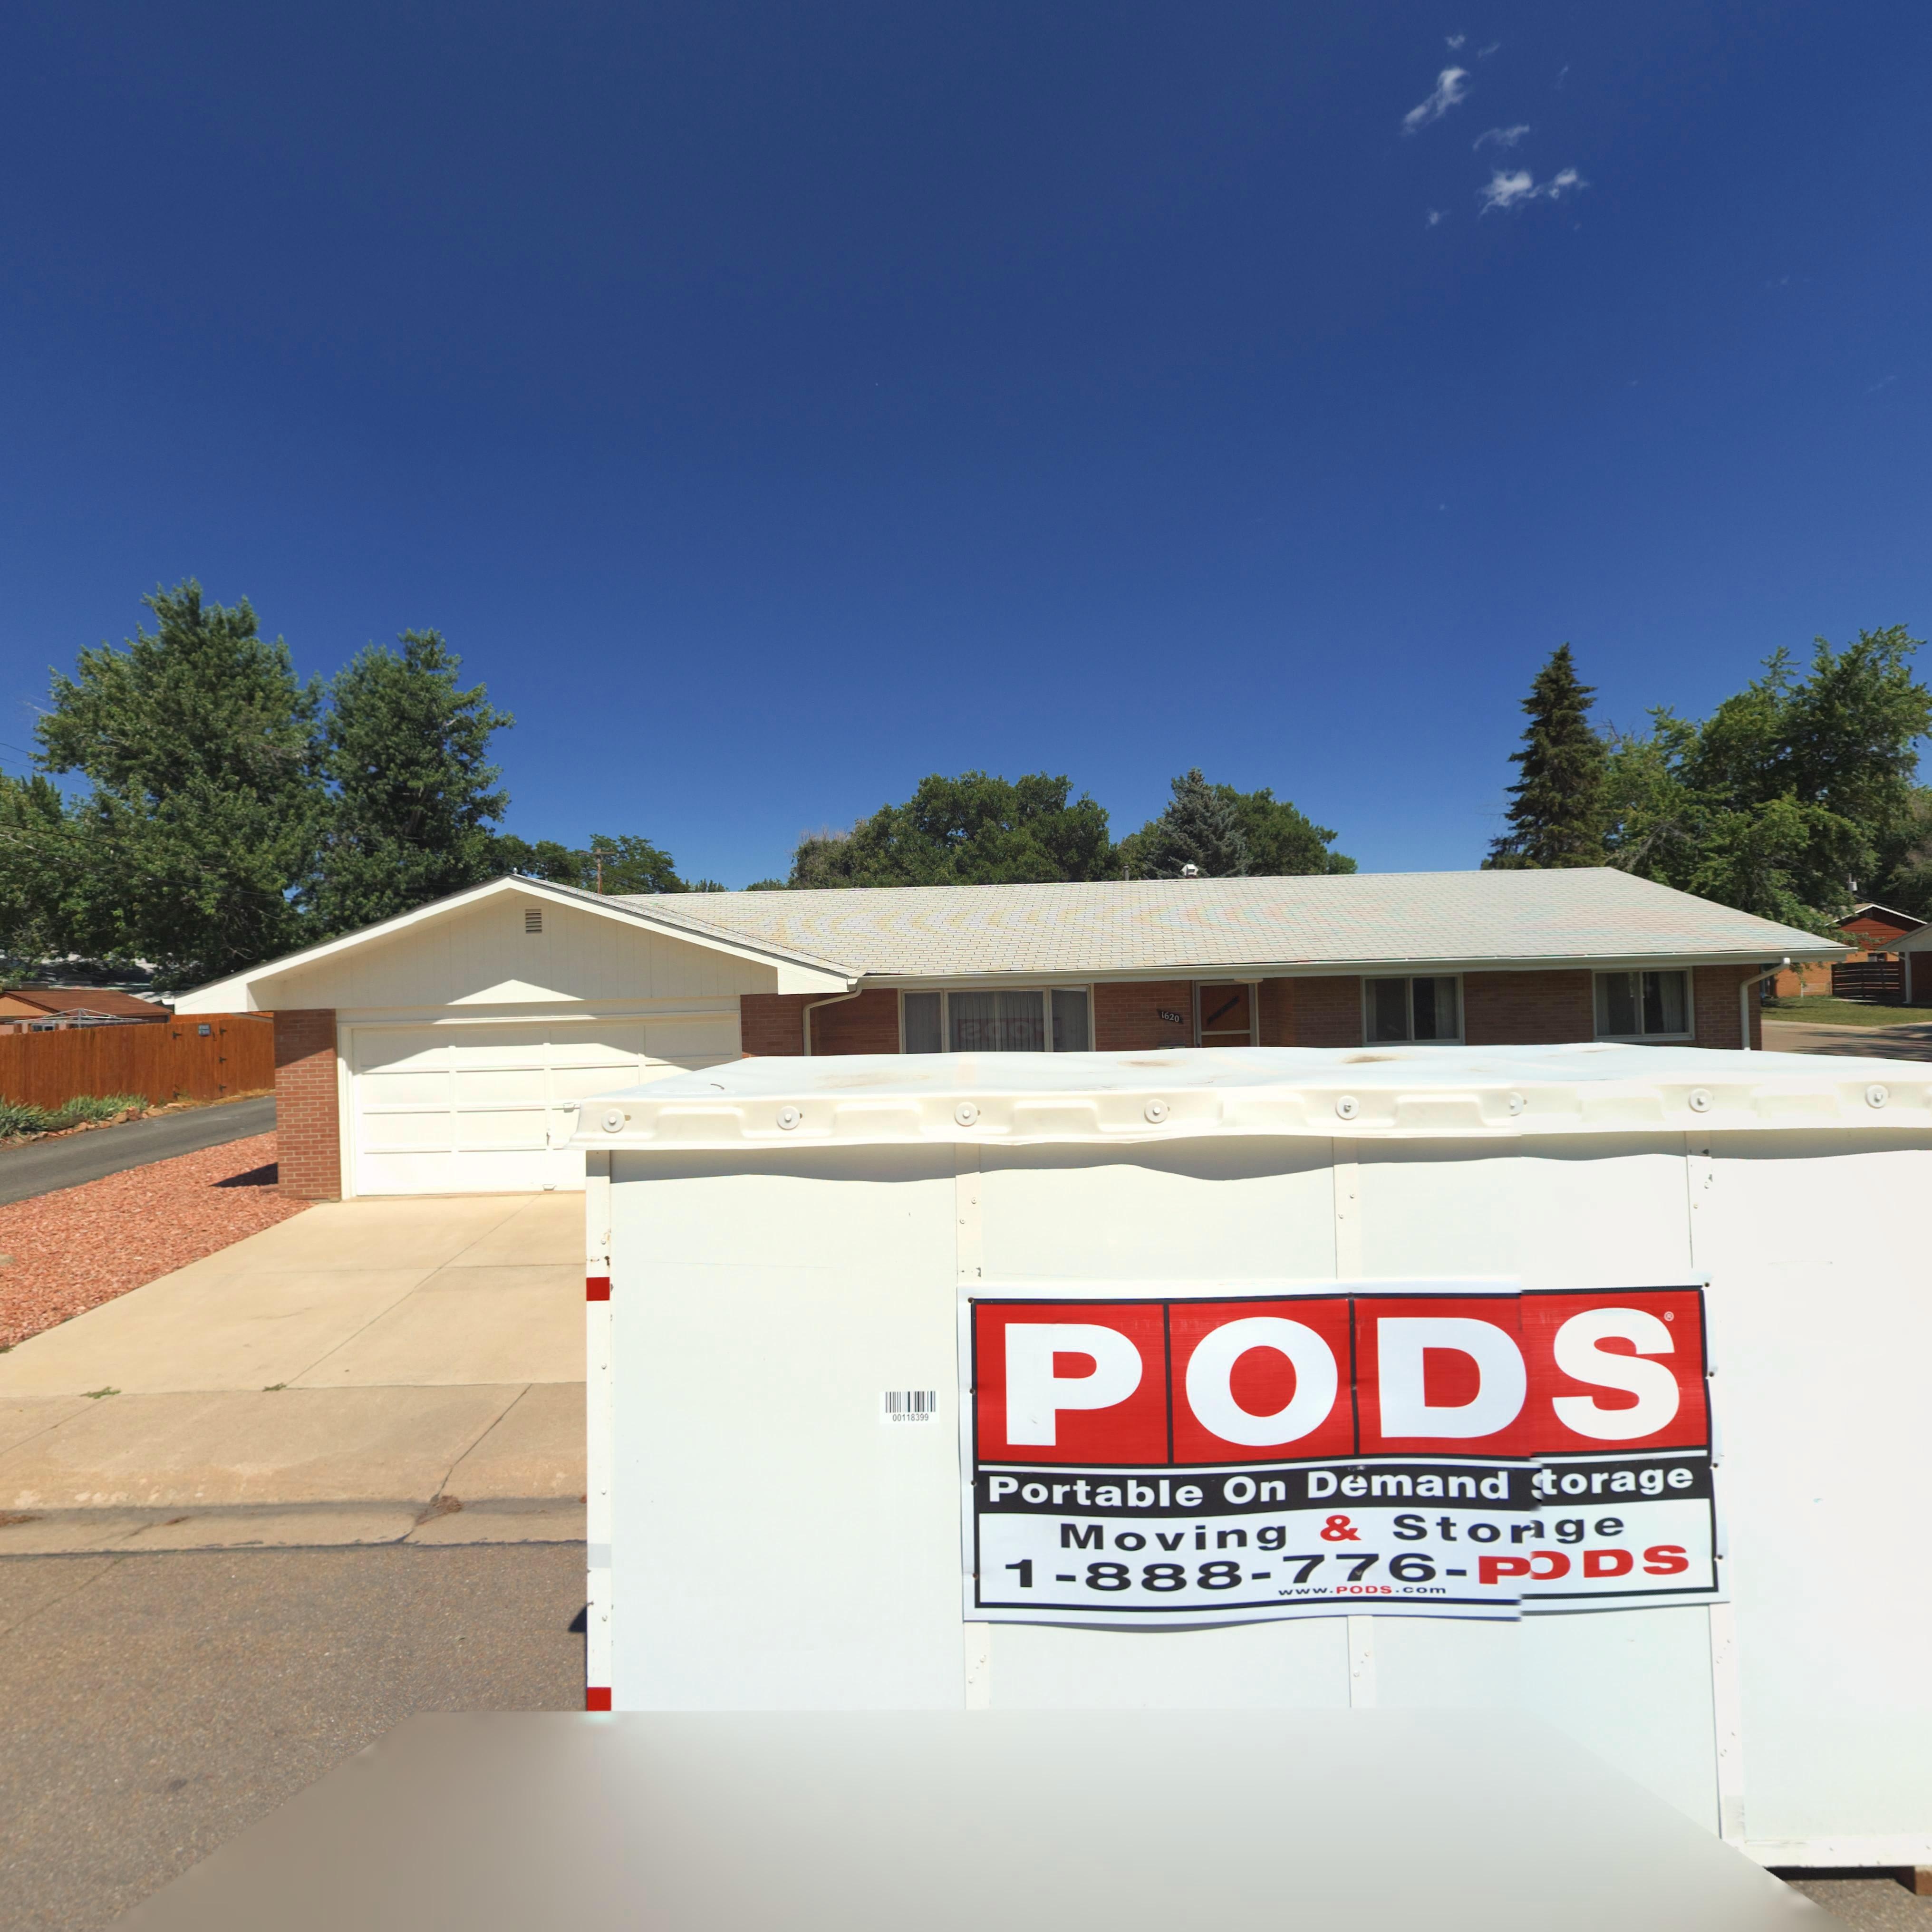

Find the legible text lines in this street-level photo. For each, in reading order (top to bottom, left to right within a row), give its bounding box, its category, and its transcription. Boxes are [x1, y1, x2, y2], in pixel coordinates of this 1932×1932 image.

[1161, 1010, 1180, 1023] StreetNumber: 1620